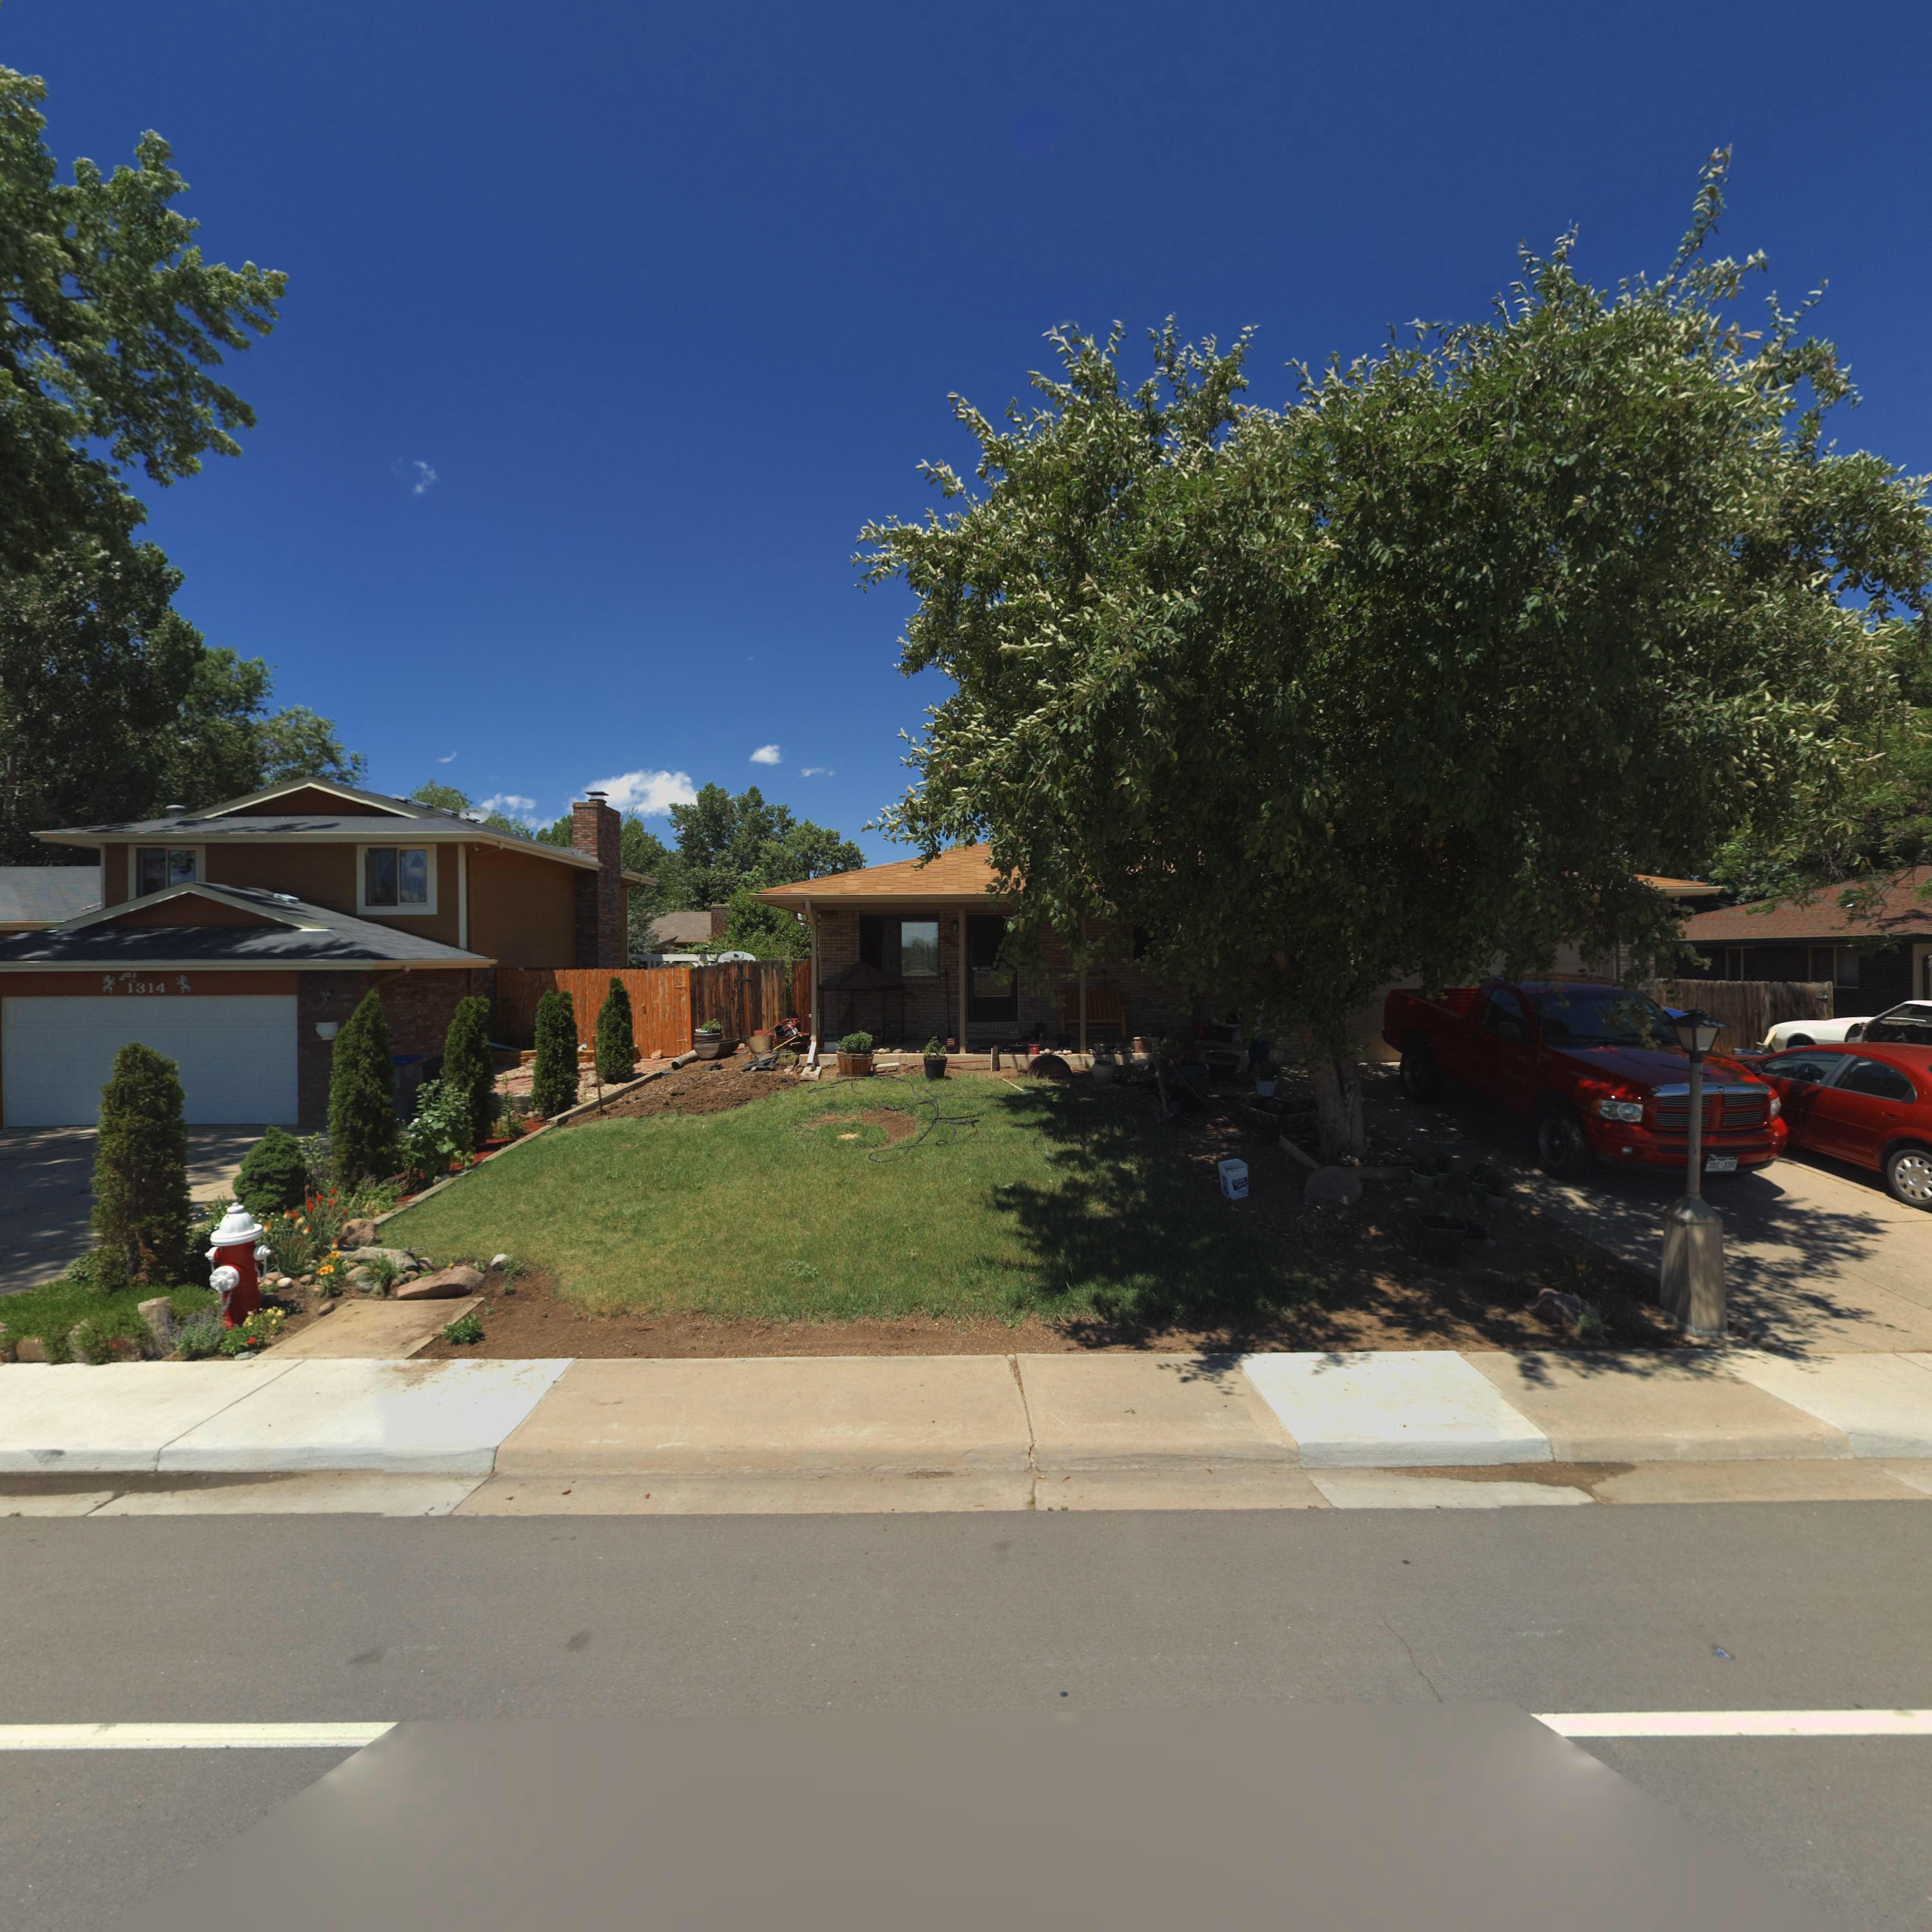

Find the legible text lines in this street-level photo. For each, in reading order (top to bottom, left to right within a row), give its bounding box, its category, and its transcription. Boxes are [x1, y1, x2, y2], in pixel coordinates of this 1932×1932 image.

[128, 983, 165, 993] StreetNumber: 1314